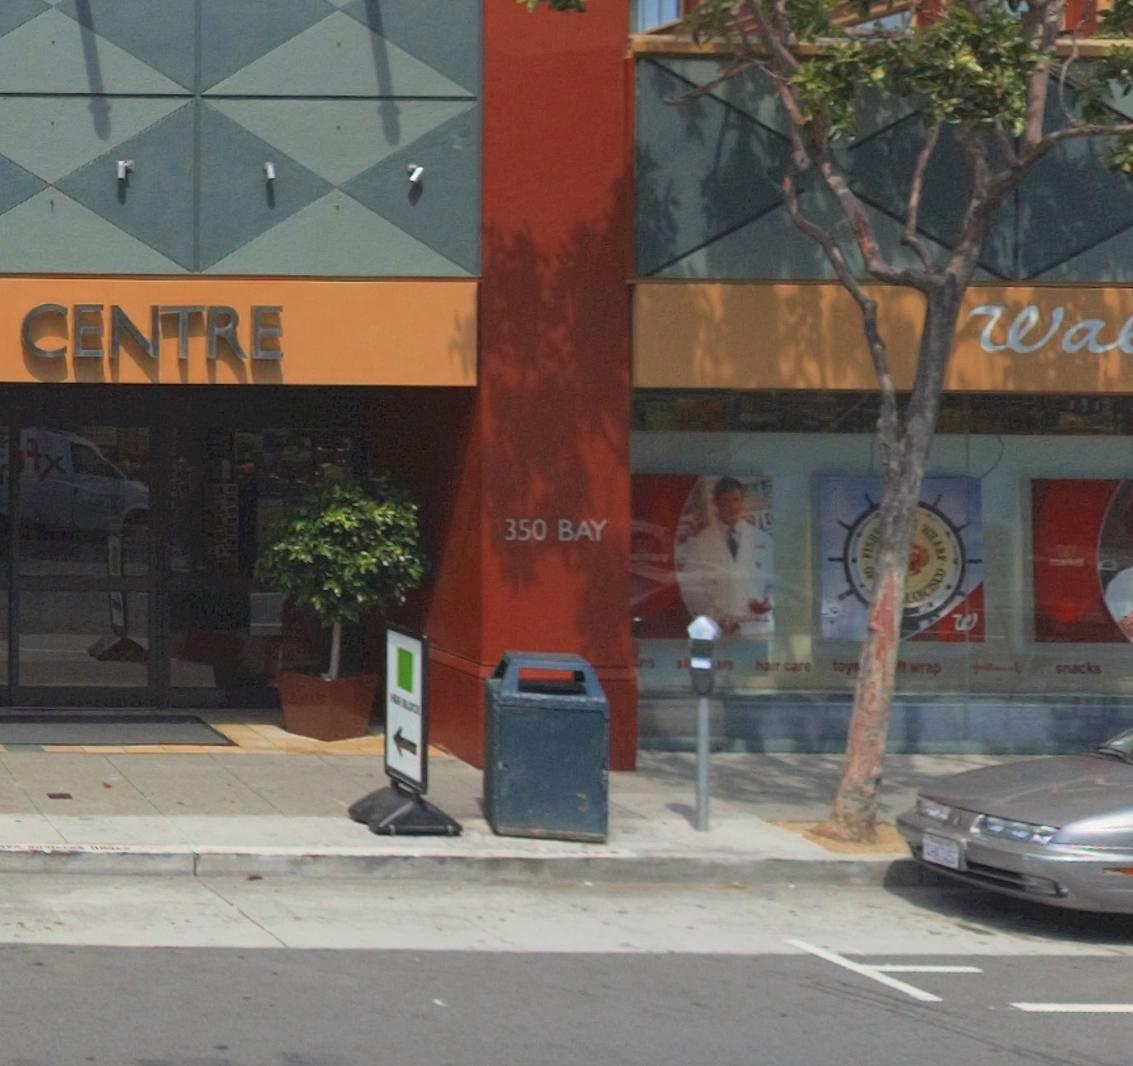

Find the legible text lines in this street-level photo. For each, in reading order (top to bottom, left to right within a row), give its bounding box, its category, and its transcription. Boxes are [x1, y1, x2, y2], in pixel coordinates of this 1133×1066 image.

[20, 303, 285, 360] None: CENTRE
[966, 303, 1106, 354] BusinessName: Wa
[503, 516, 549, 543] StreetNumber: 350
[558, 518, 609, 542] StreetName: BAY
[861, 532, 880, 560] None: FISH
[920, 523, 948, 562] None: WHARF
[903, 567, 946, 604] None: RANCISCO
[951, 612, 980, 632] None: W
[755, 657, 811, 673] None: hair care
[831, 661, 859, 676] None: toys
[909, 661, 945, 678] None: wrap
[970, 660, 1024, 674] None: Hallmark
[1055, 661, 1103, 676] None: snacks
[389, 692, 421, 717] BusinessName: H&R BLOCK